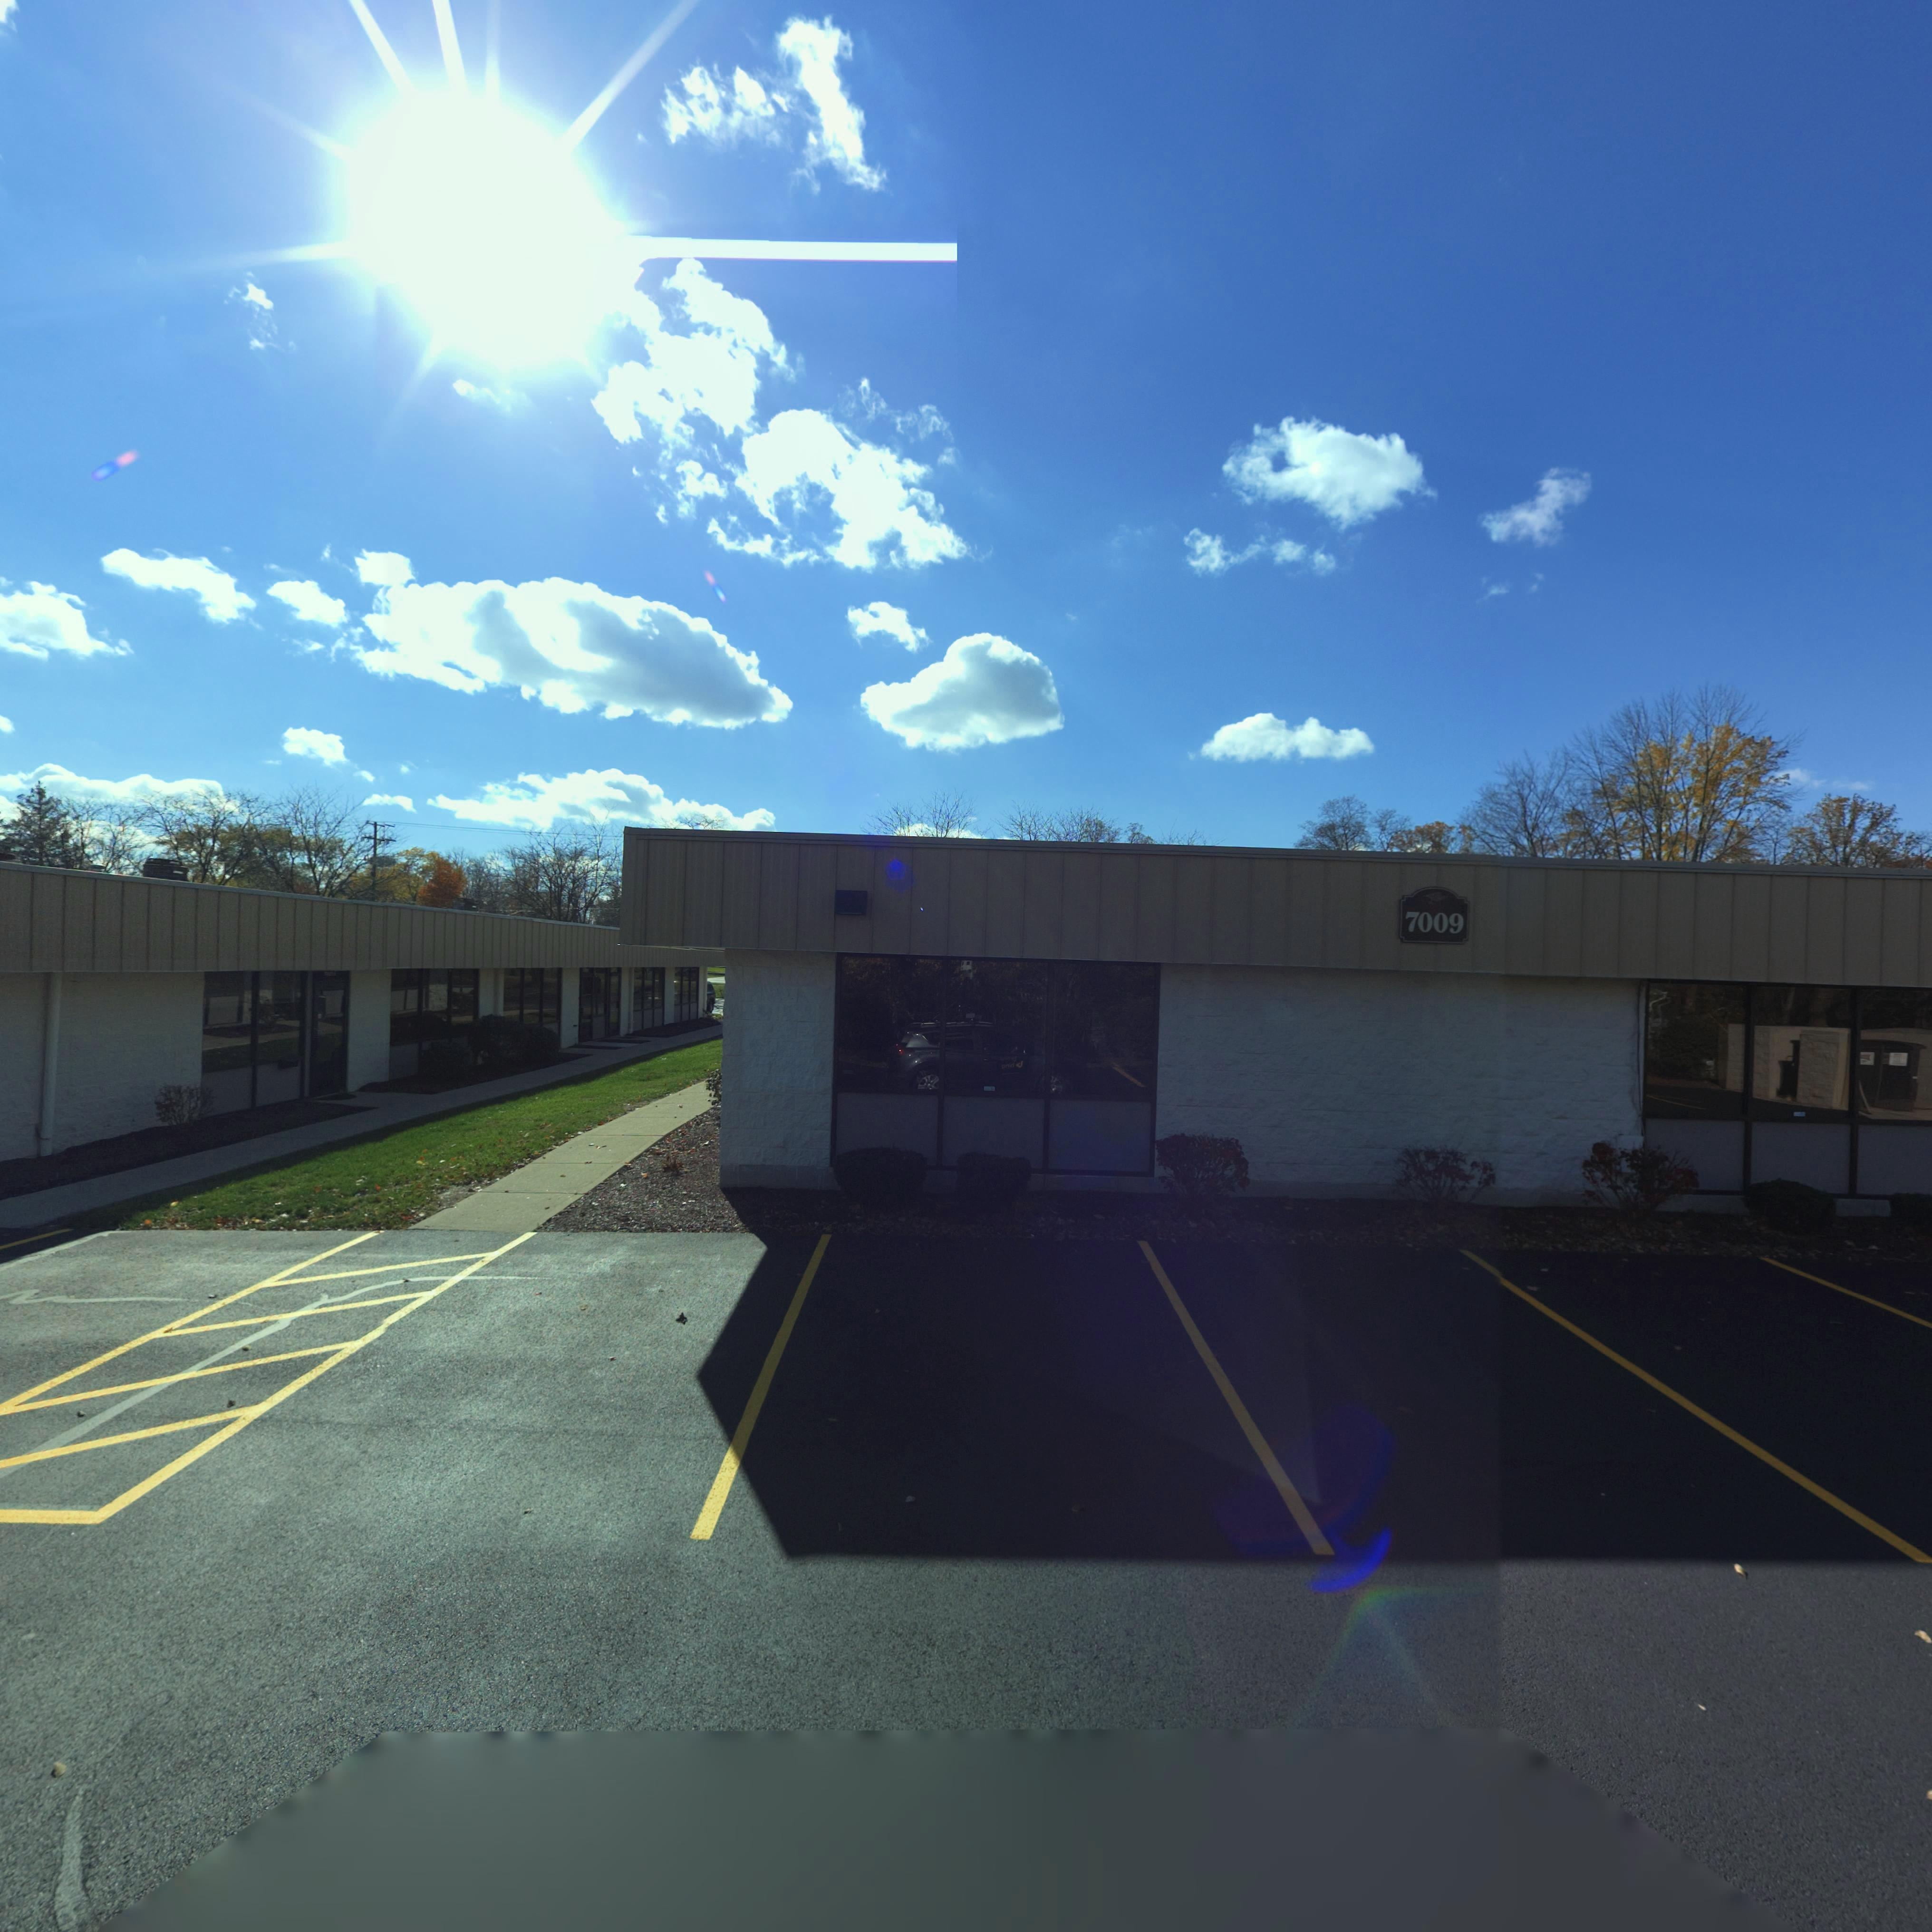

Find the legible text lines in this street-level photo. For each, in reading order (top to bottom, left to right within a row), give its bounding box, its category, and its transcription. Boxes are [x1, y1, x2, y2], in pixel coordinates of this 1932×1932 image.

[1404, 910, 1467, 936] StreetNumber: 7009